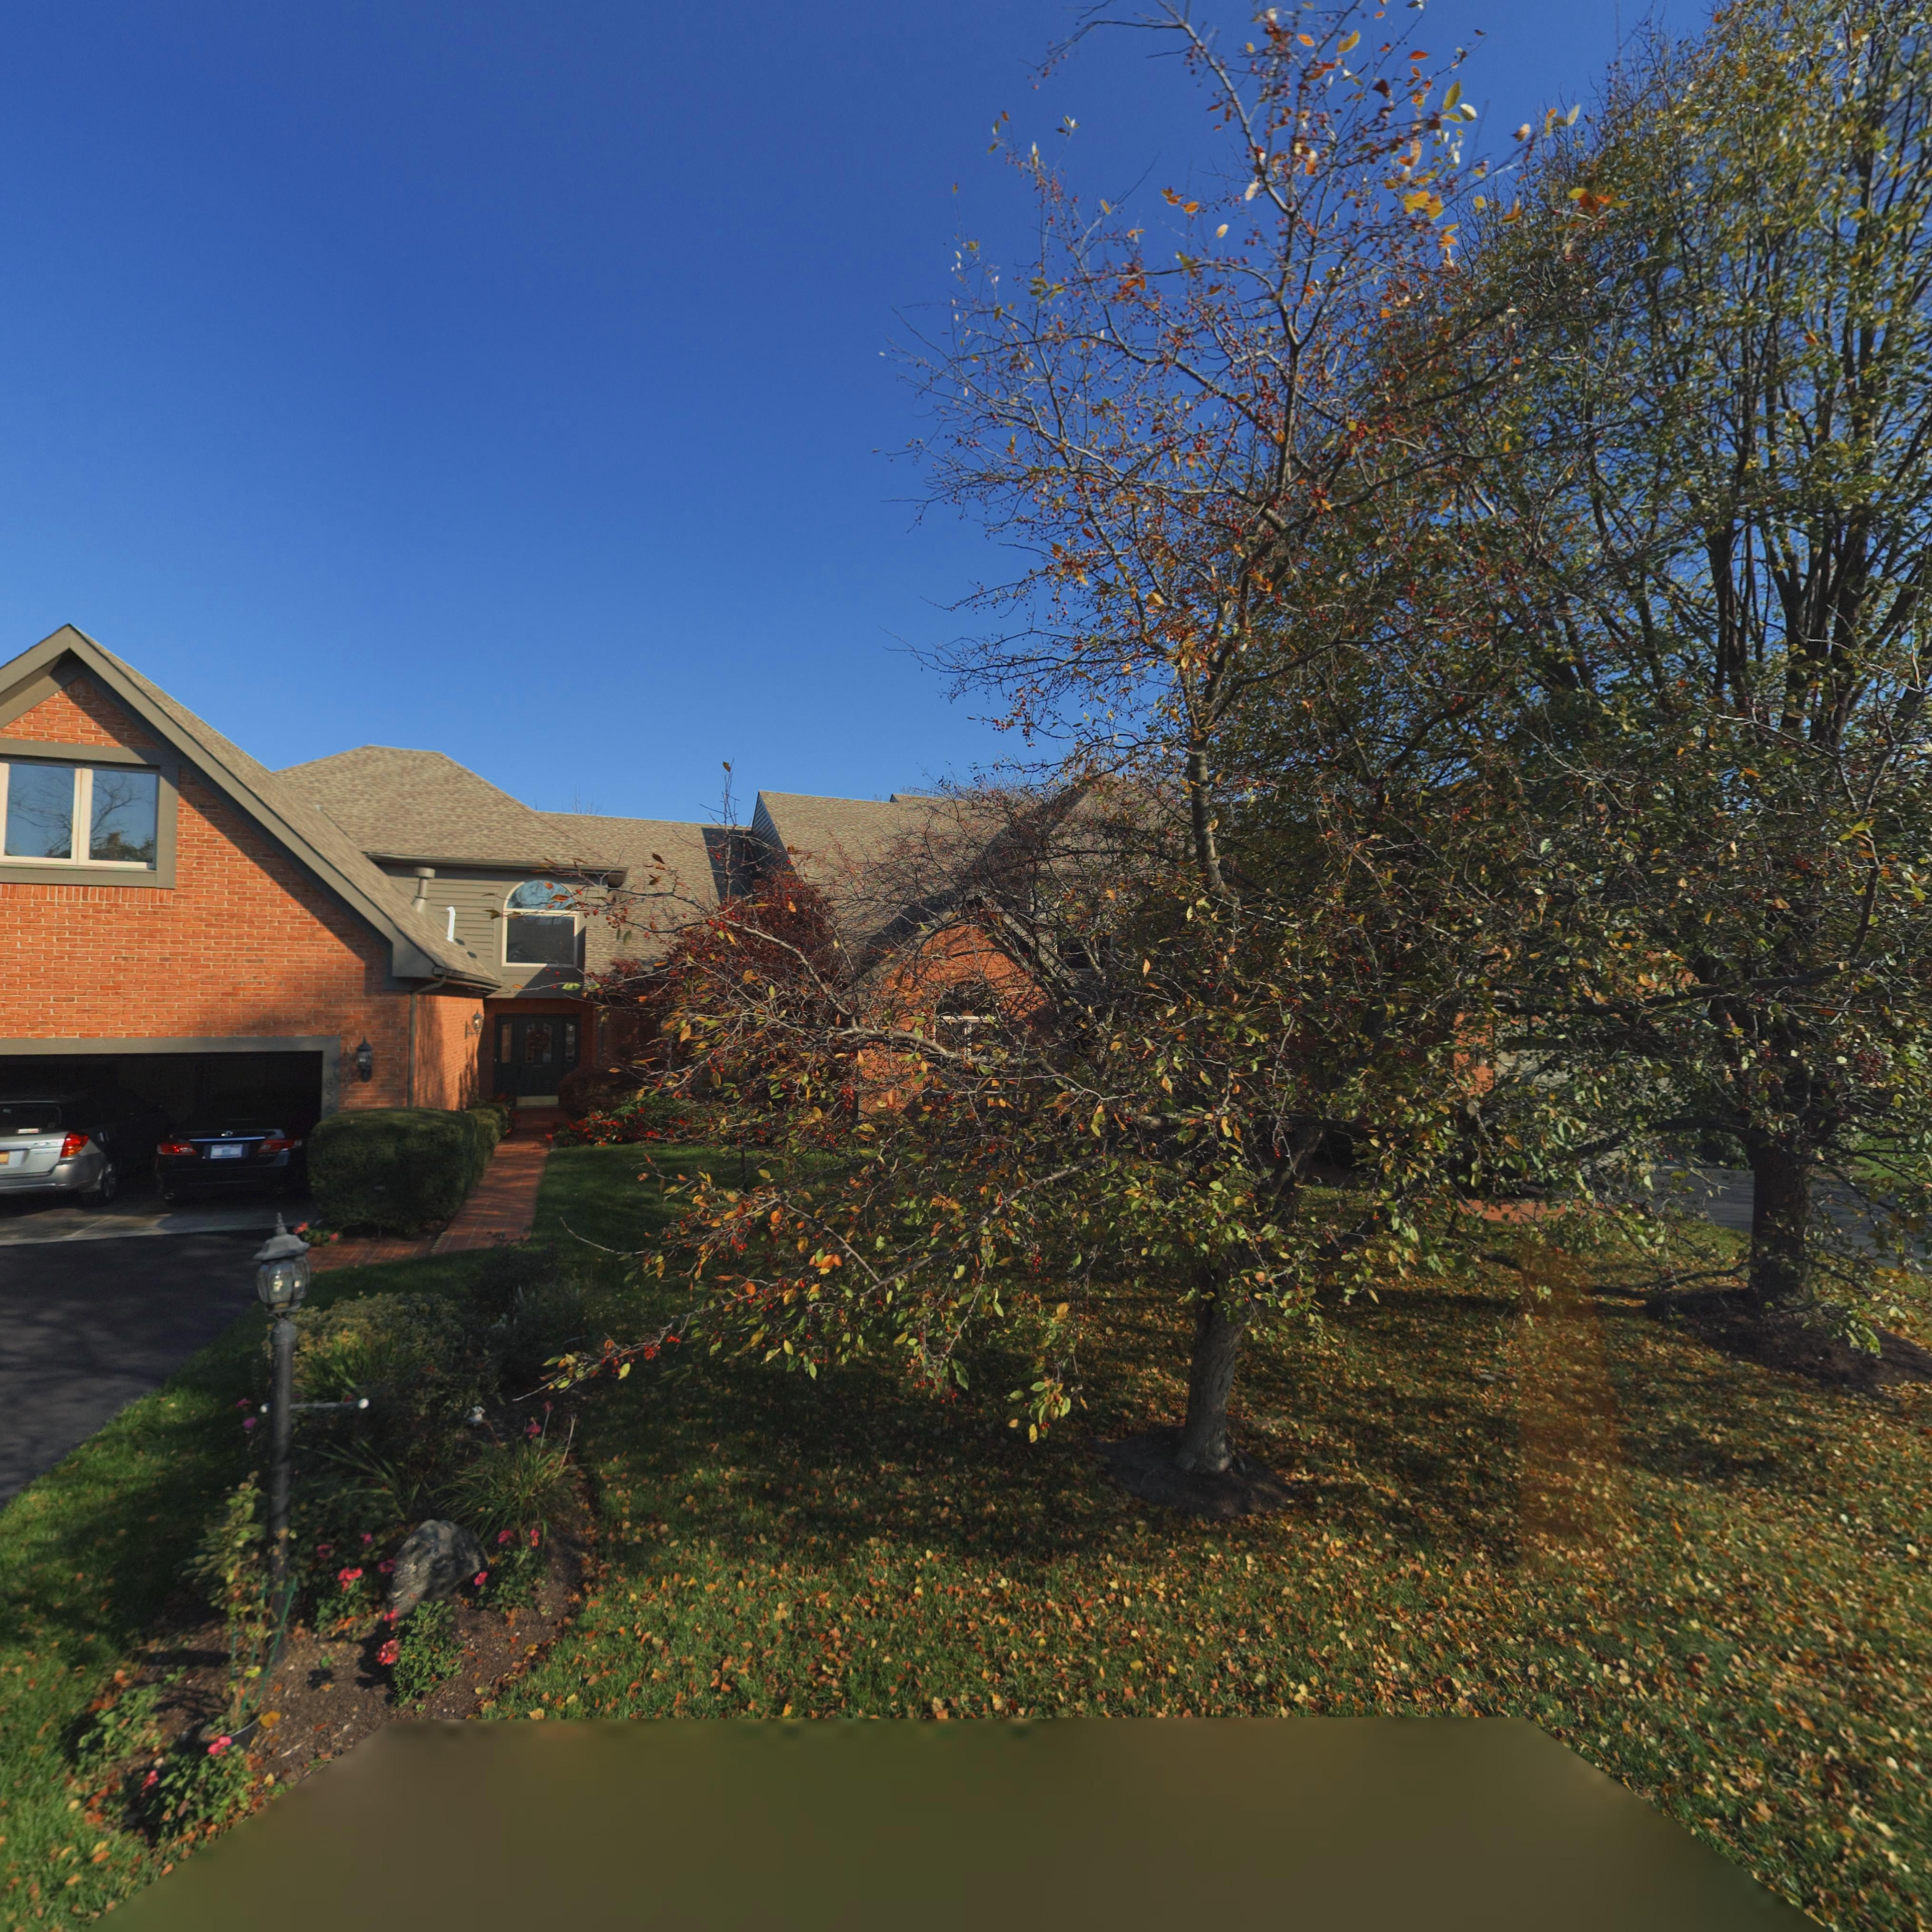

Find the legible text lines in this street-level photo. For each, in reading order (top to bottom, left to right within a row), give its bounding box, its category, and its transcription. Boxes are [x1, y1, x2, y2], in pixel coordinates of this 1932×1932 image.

[324, 1075, 335, 1116] StreetNumber: 856